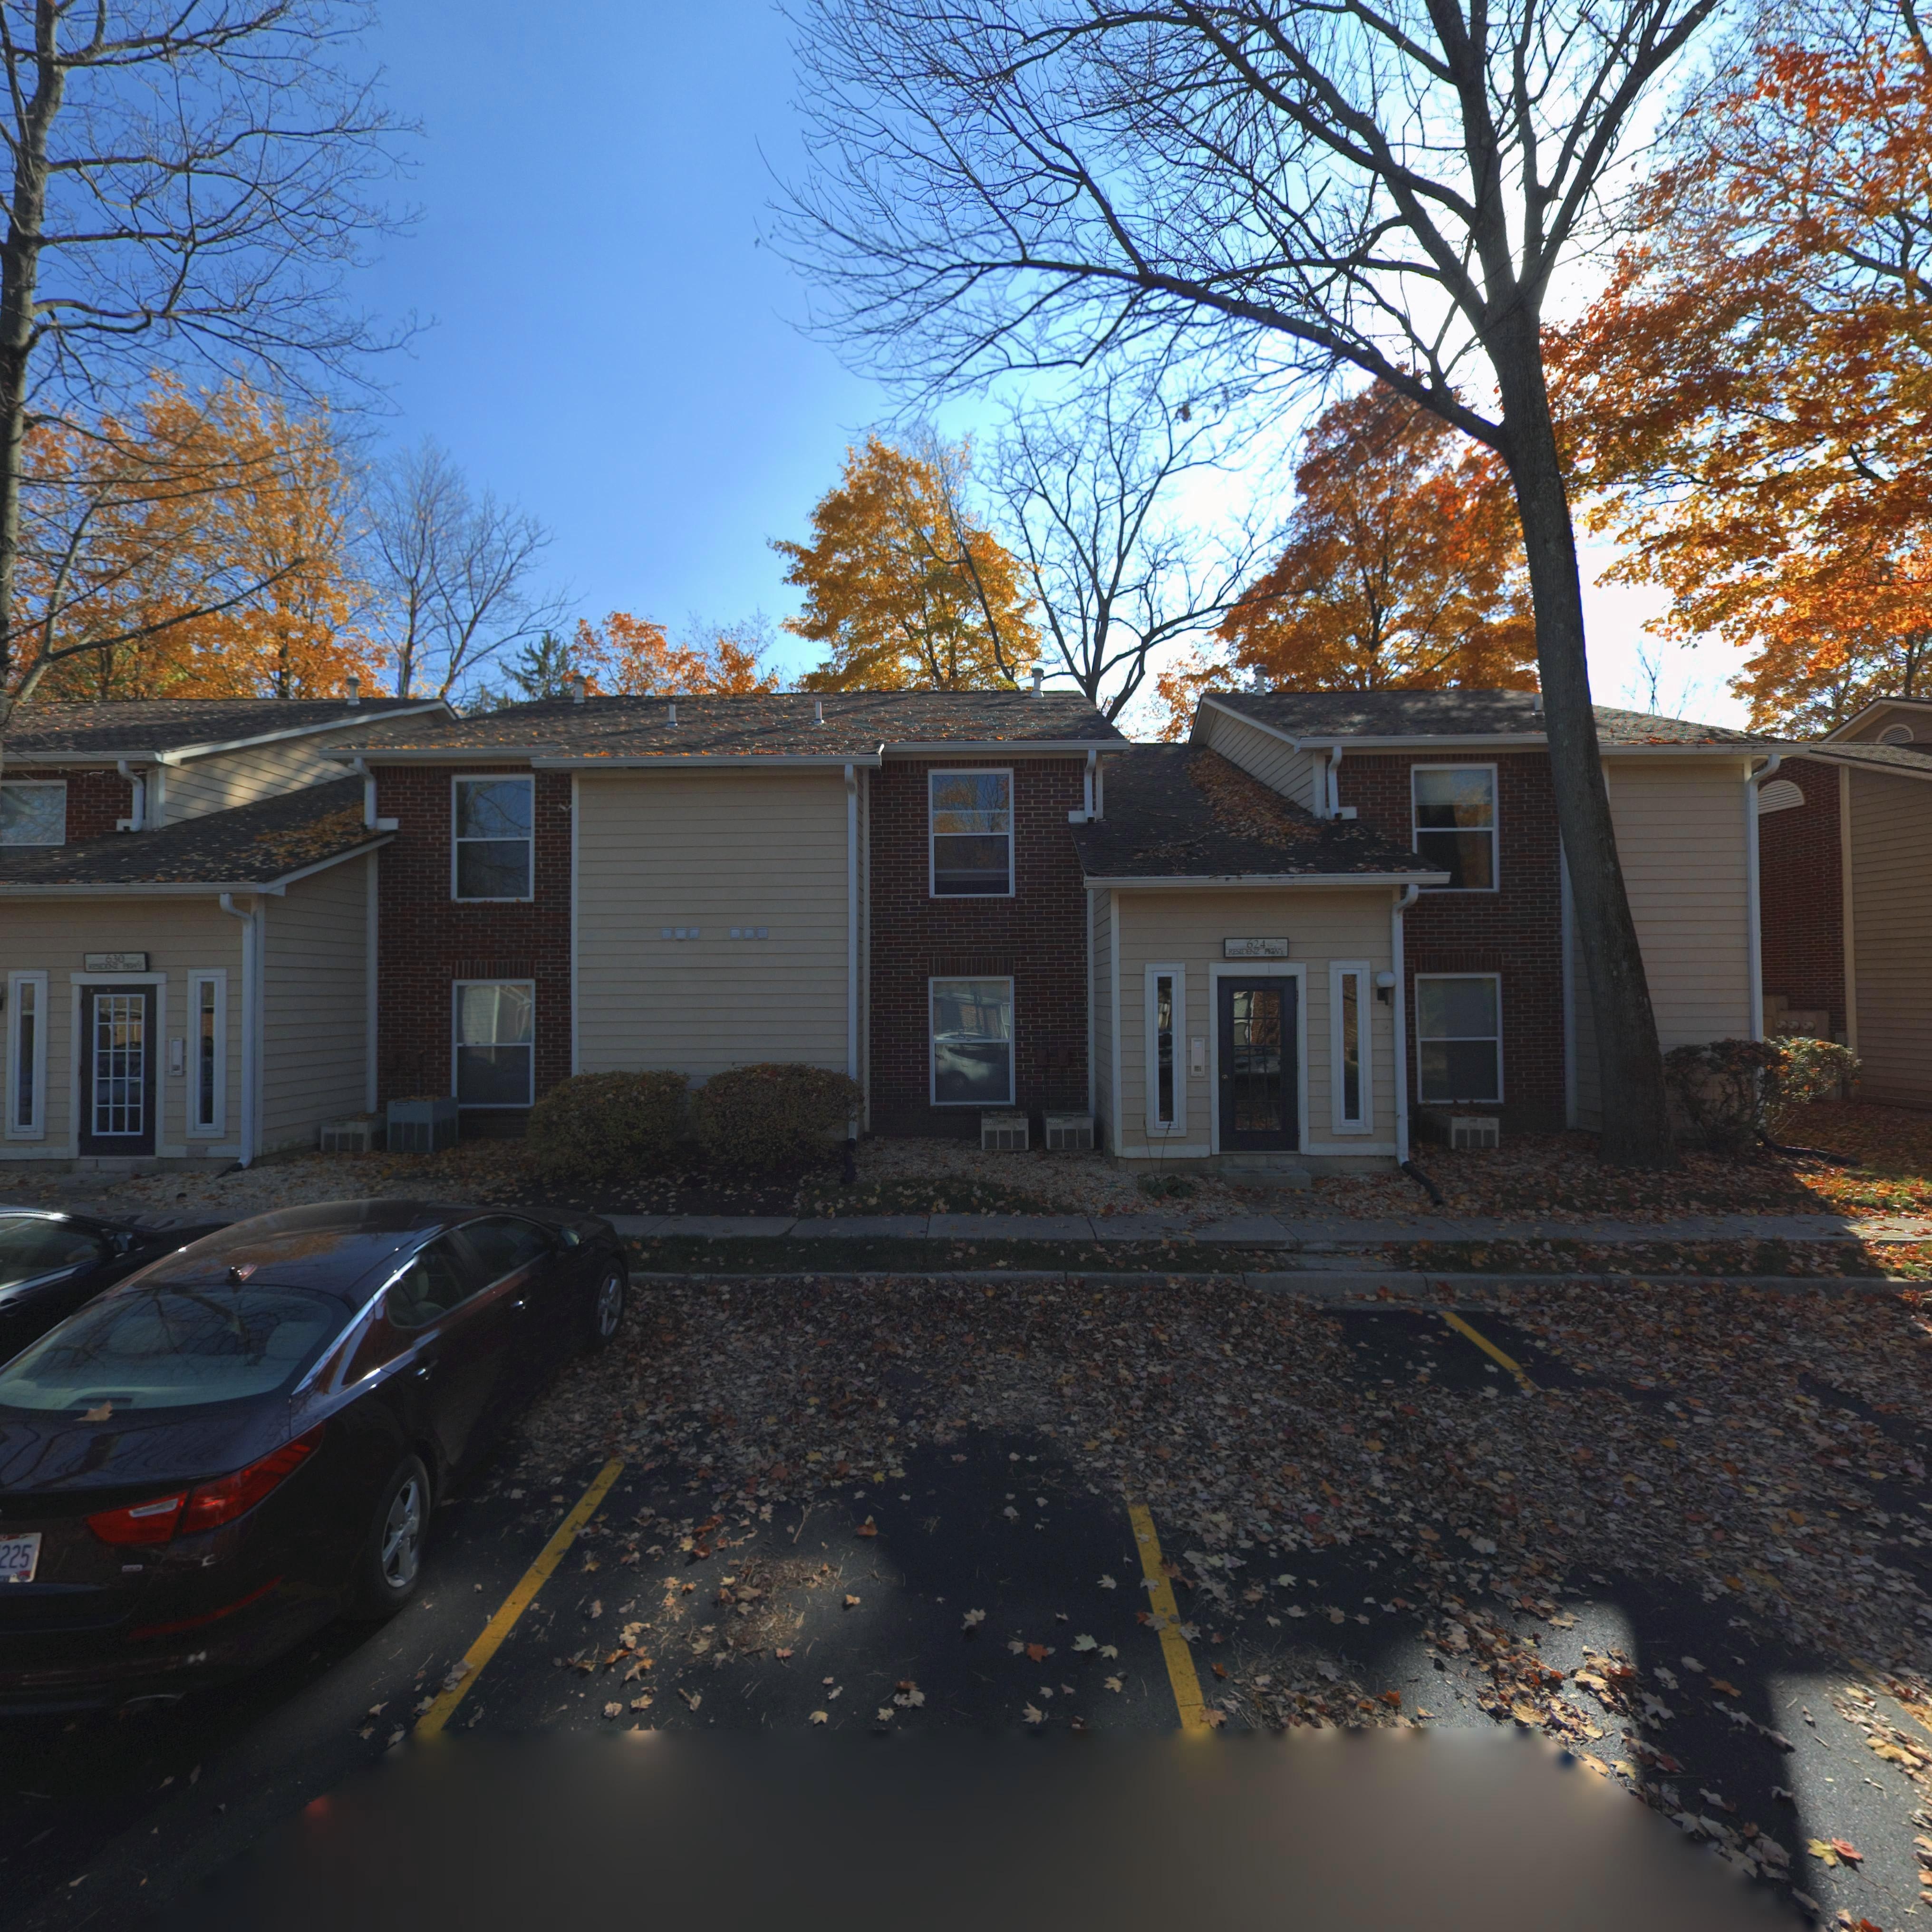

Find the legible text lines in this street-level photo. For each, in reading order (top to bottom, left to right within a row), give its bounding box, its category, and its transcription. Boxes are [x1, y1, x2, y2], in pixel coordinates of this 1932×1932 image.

[1246, 938, 1267, 949] StreetNumber: 624
[1227, 947, 1285, 956] StreetName: RESIDENZ P***
[103, 953, 126, 965] StreetNumber: 630
[7, 1543, 34, 1569] None: 25